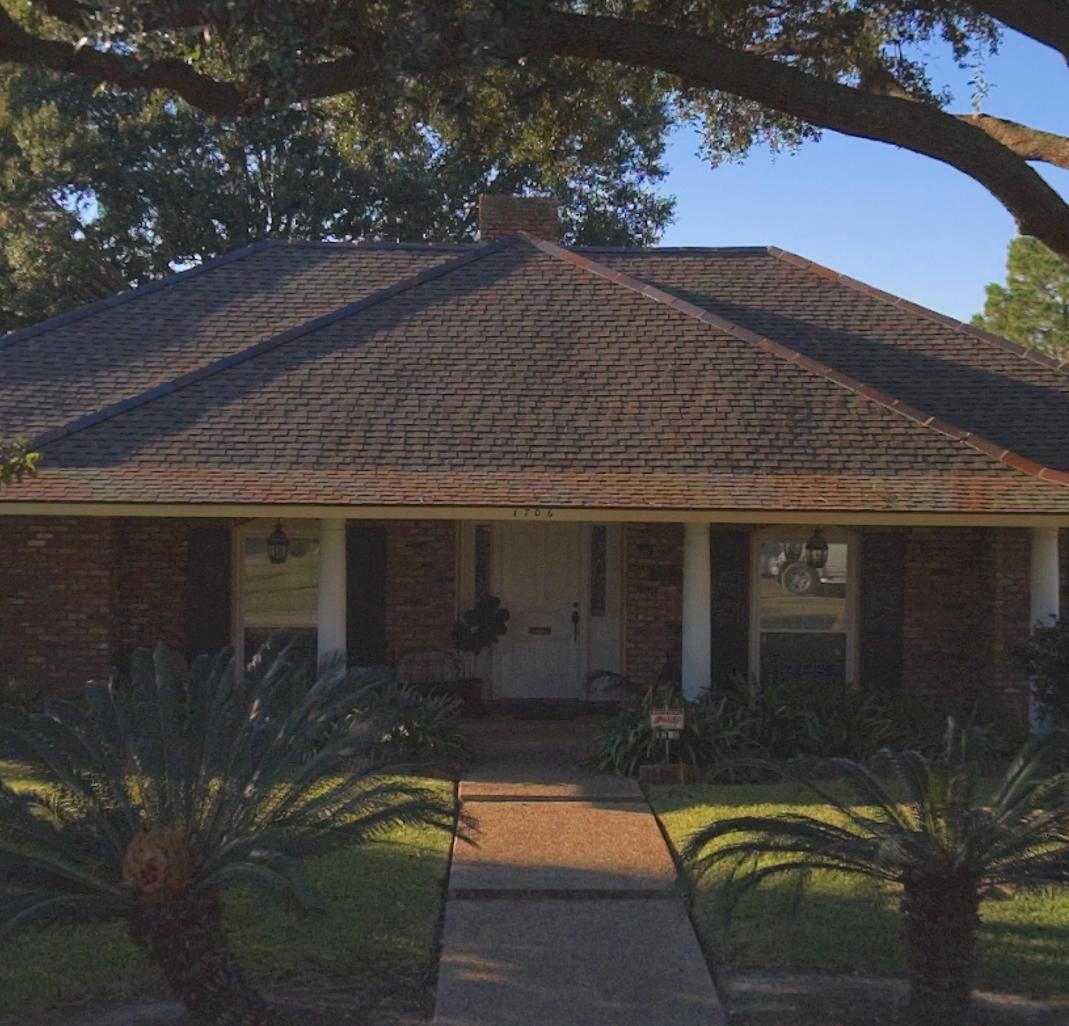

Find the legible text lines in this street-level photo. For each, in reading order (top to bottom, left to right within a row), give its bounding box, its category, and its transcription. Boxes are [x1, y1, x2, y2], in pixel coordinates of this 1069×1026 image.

[513, 508, 554, 518] StreetNumber: 1706